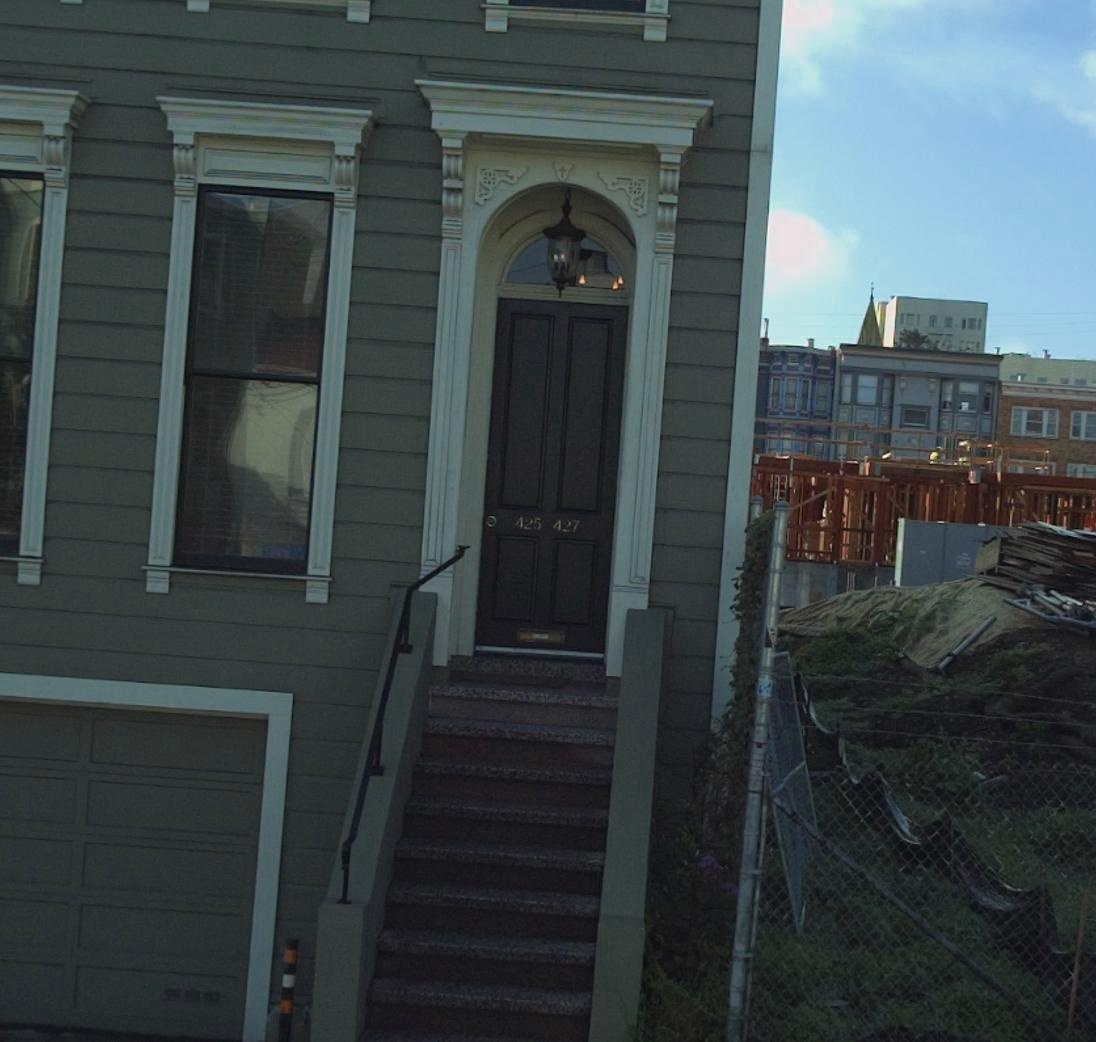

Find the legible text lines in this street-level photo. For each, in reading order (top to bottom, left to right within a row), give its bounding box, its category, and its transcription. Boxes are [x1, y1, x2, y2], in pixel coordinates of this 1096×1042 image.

[512, 514, 544, 533] StreetNumber: 425
[550, 517, 585, 535] StreetNumber: 427